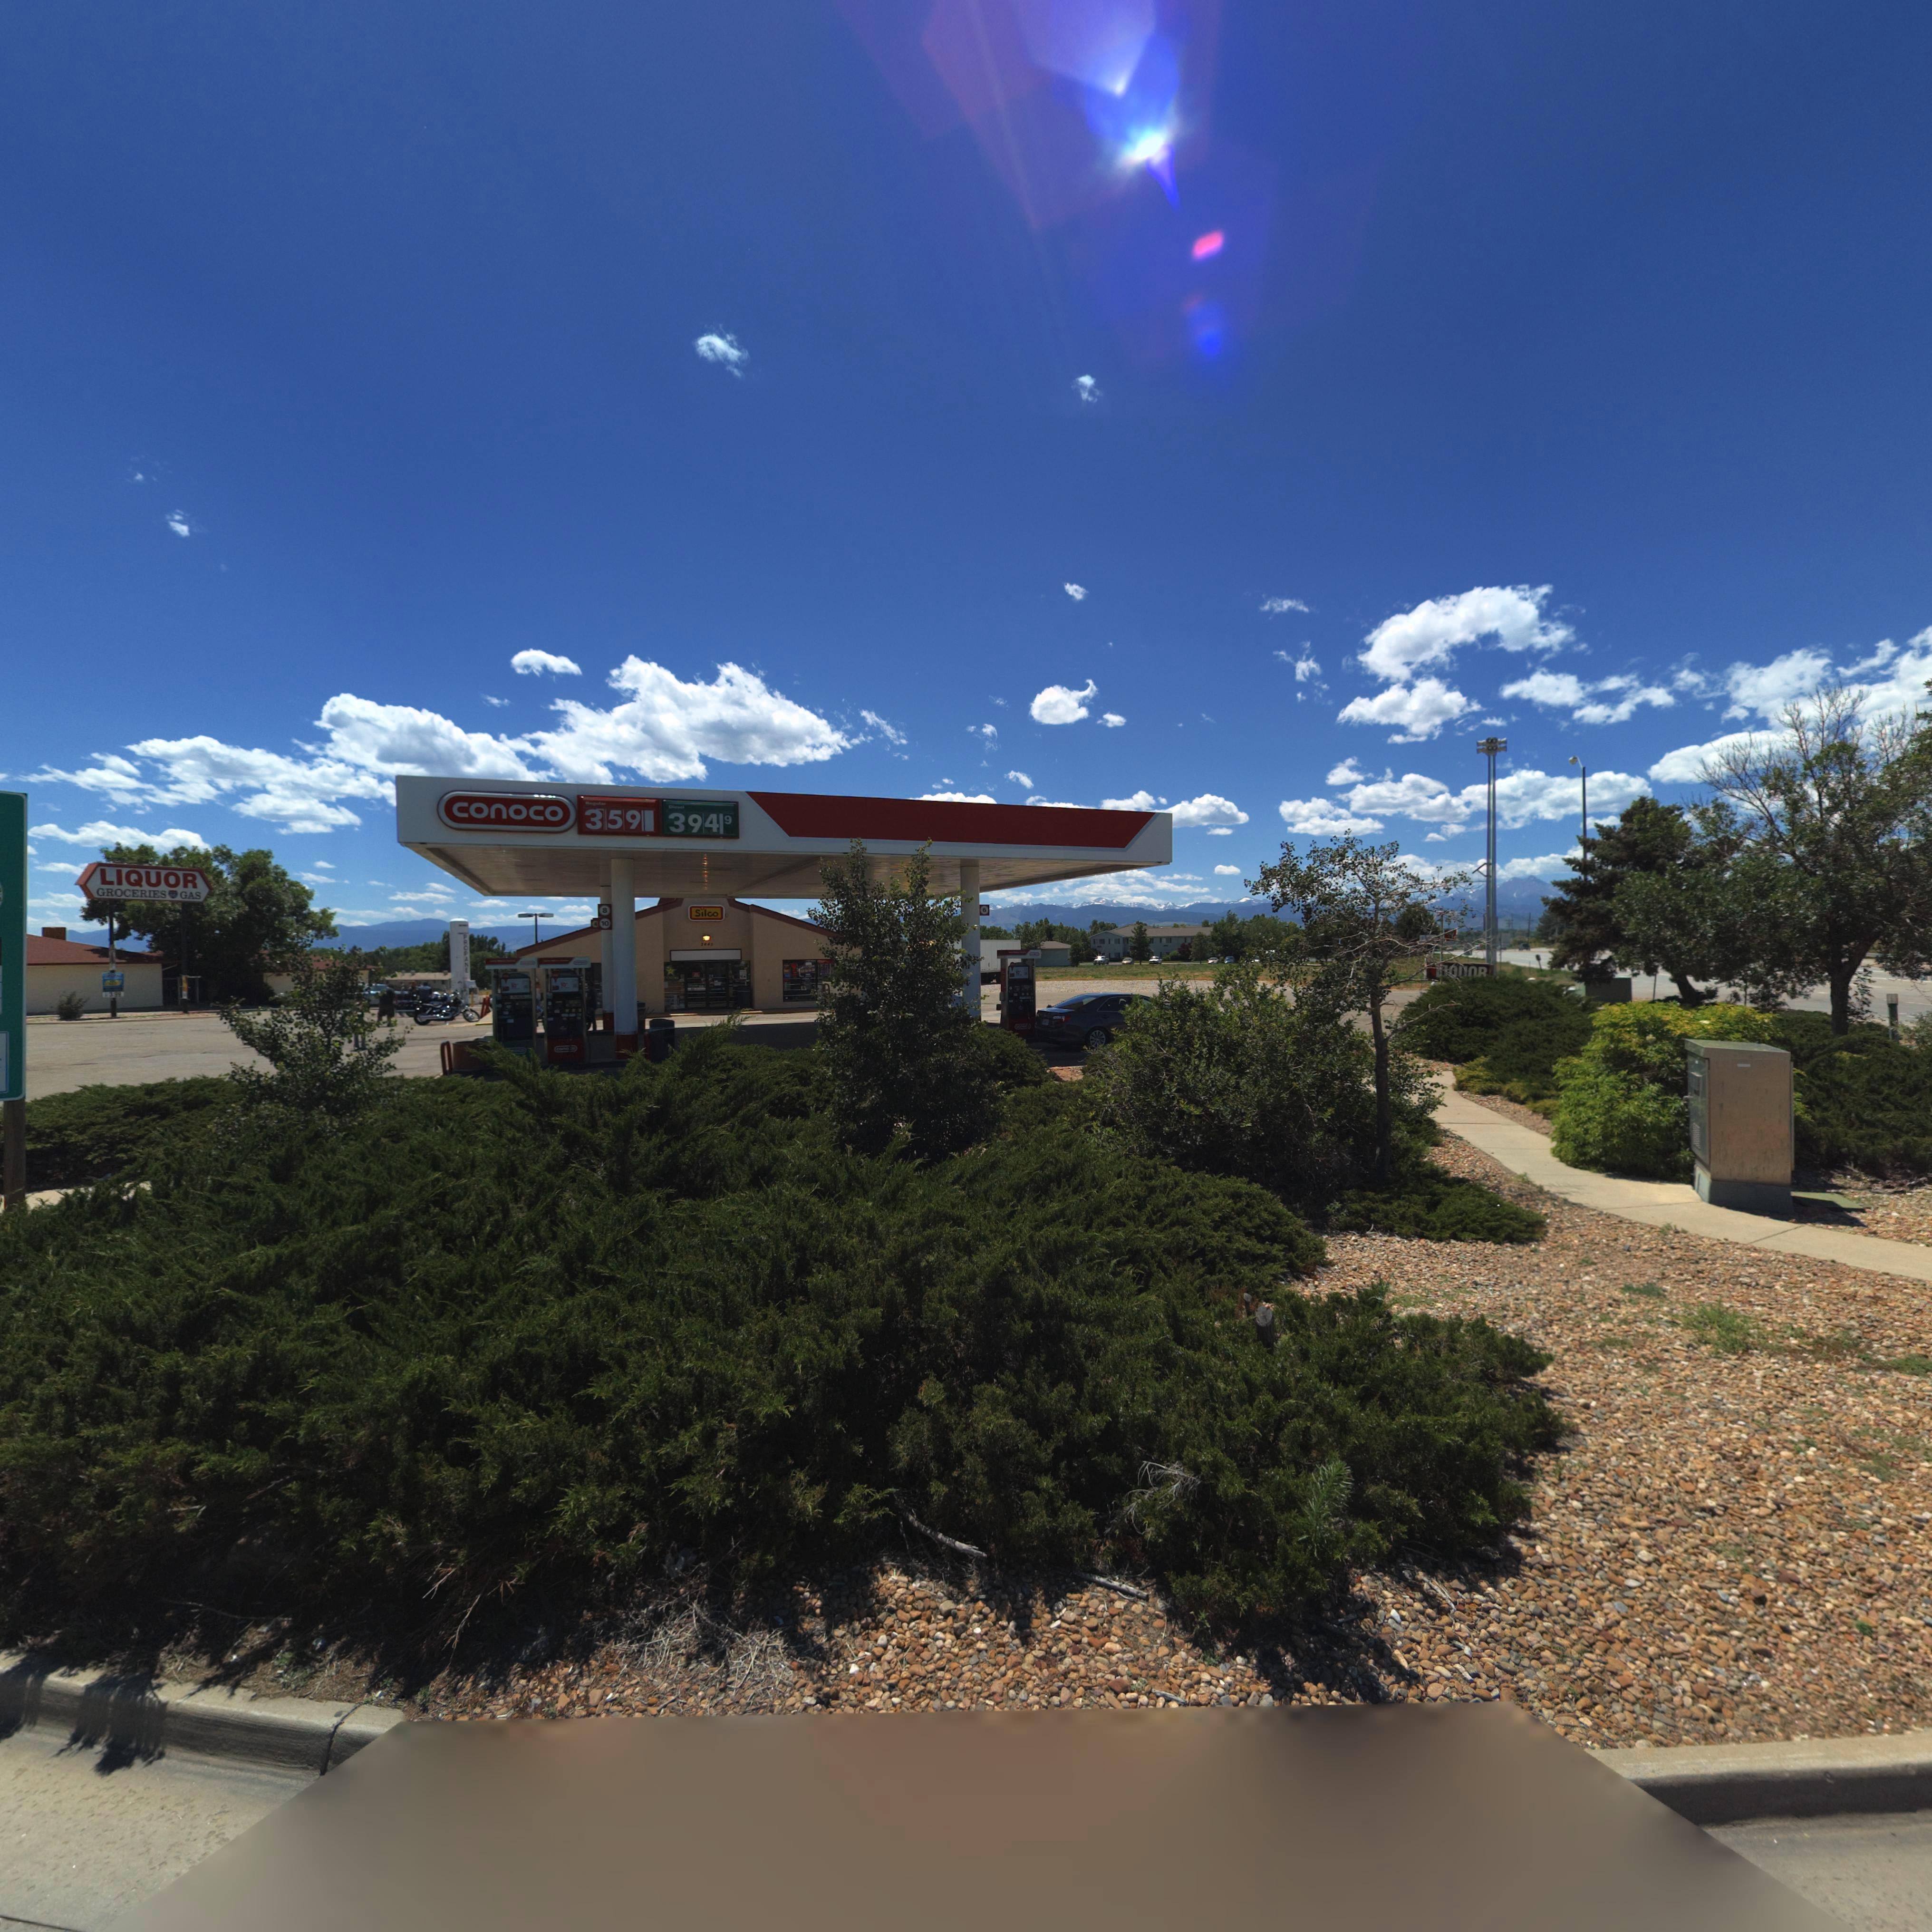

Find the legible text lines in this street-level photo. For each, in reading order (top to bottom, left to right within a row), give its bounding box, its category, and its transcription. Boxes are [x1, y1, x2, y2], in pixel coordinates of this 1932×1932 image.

[449, 801, 564, 821] BusinessName: conoco
[695, 908, 718, 917] BusinessName: Silco
[701, 942, 714, 946] StreetNumber: *44*